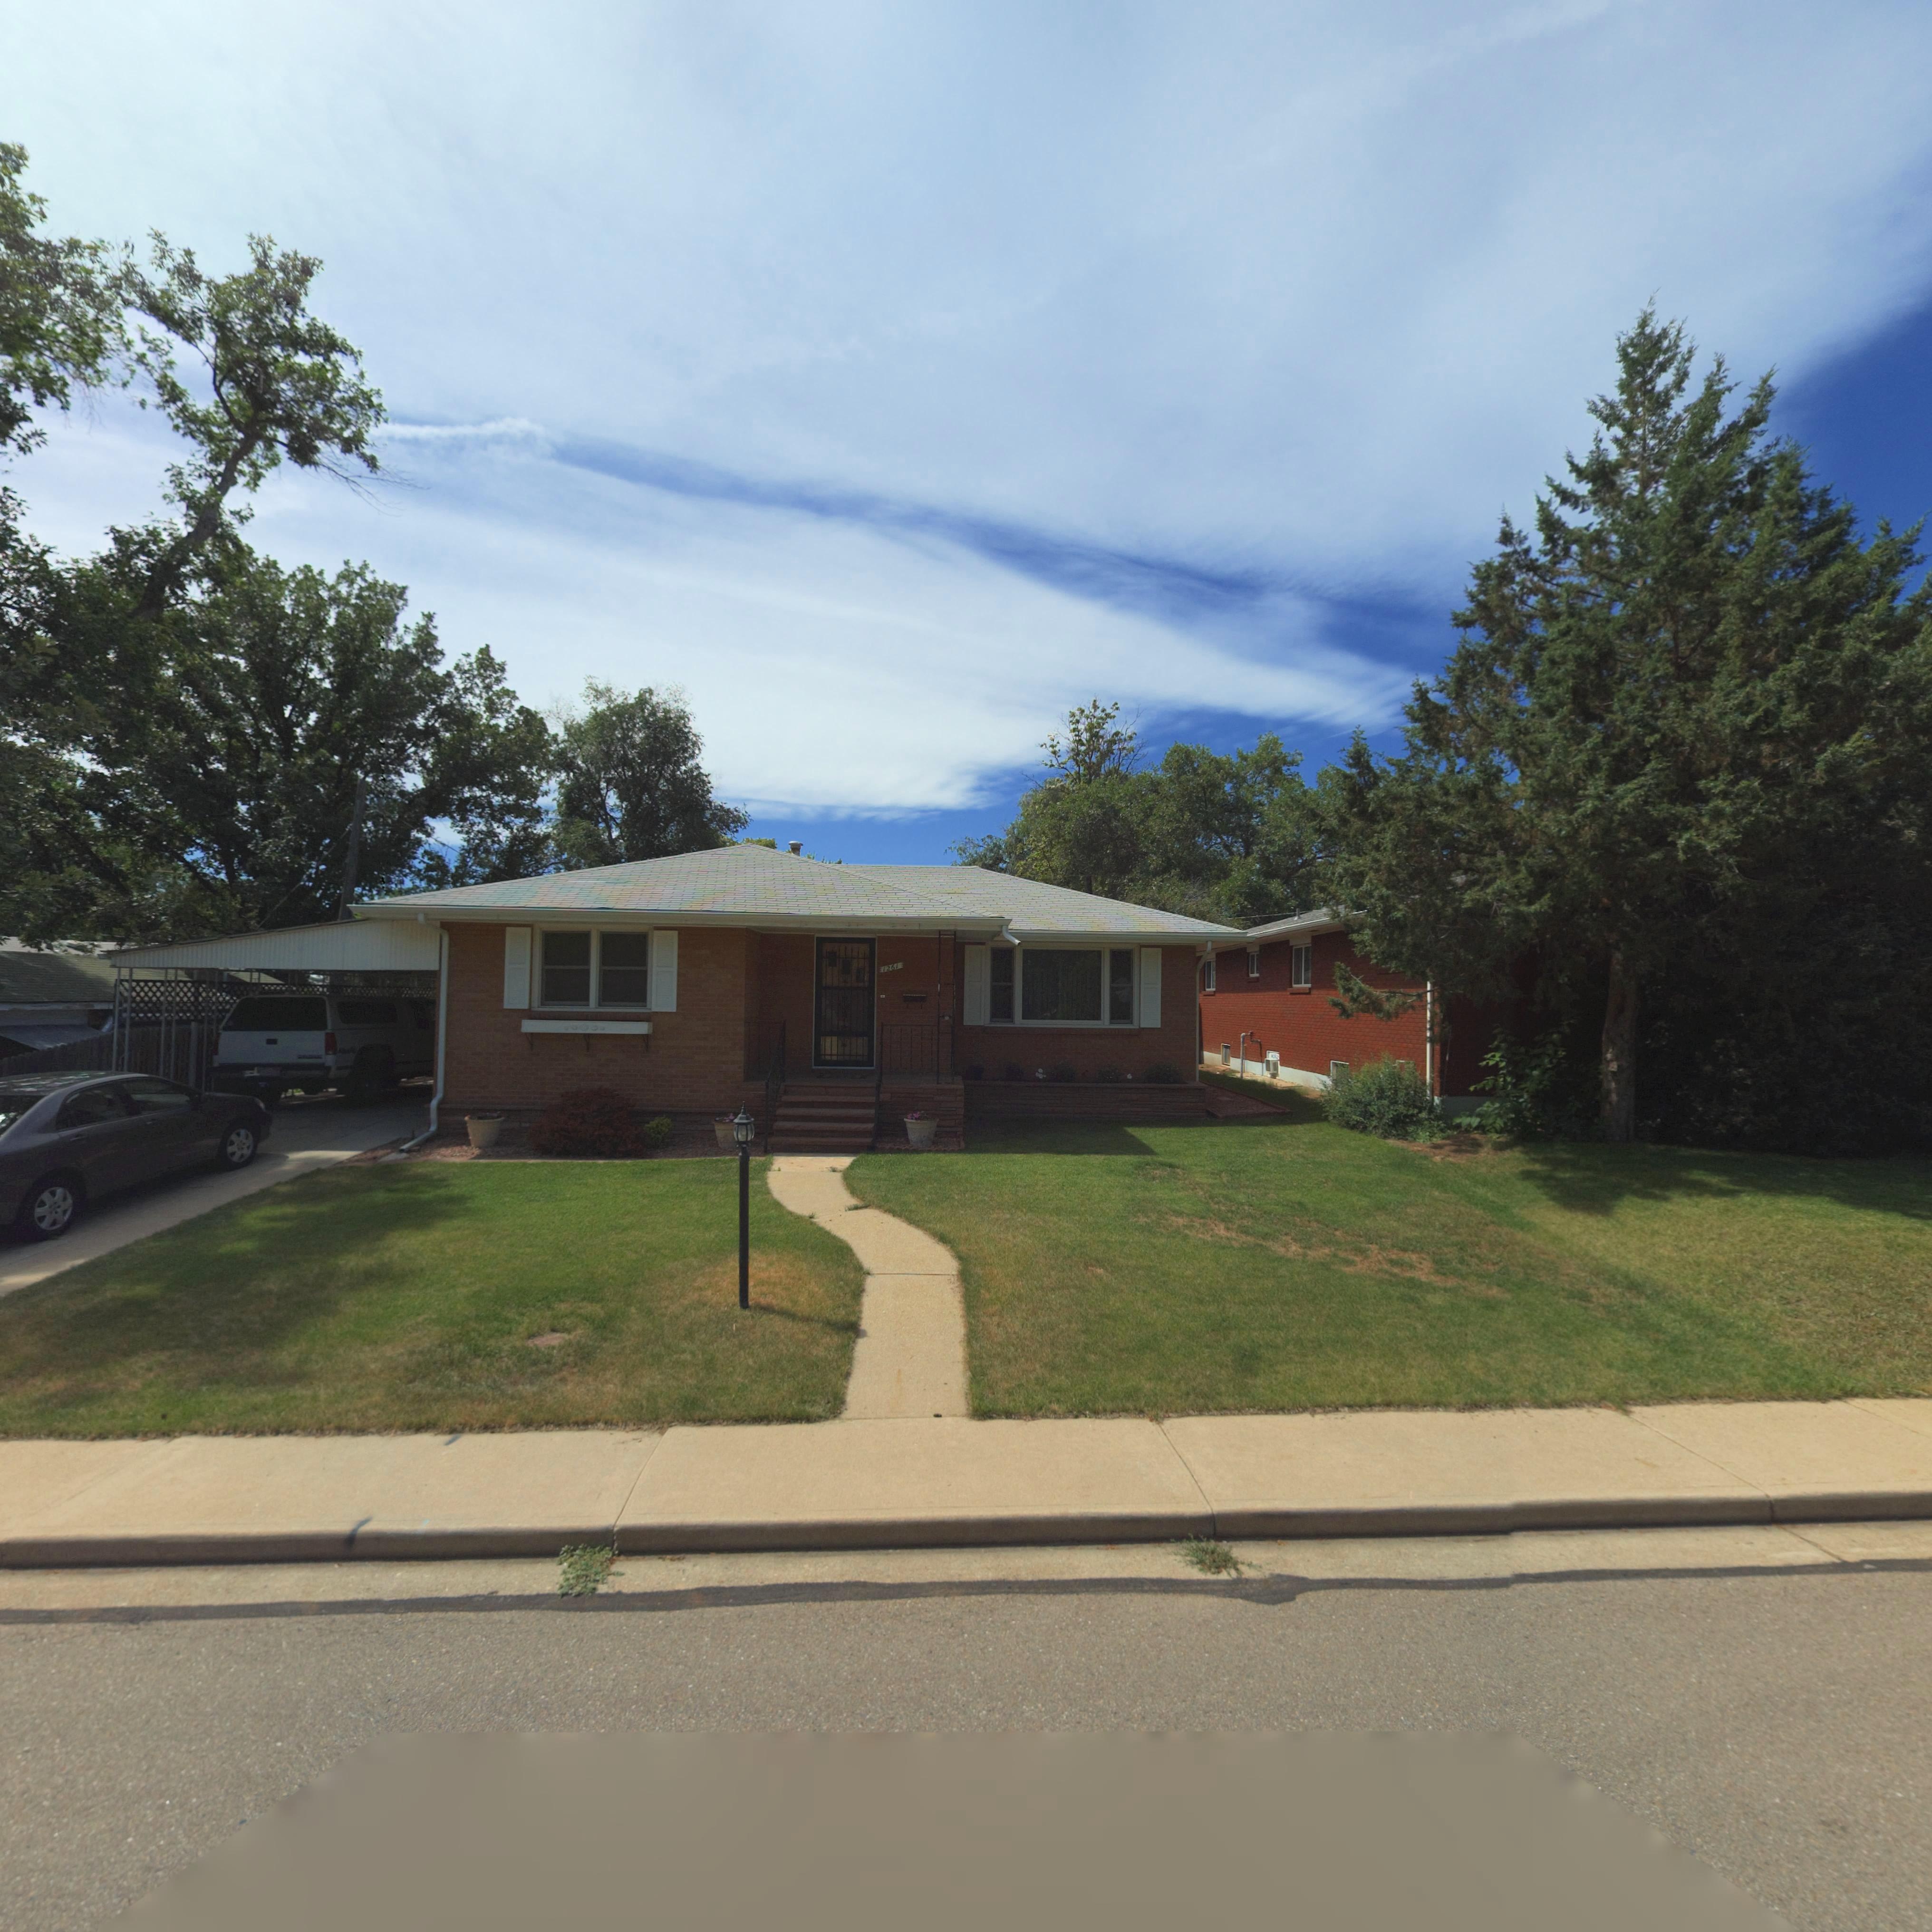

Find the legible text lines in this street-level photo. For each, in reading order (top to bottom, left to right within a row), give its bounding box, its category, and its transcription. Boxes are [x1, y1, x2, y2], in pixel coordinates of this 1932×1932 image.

[883, 962, 898, 972] StreetNumber: 1261